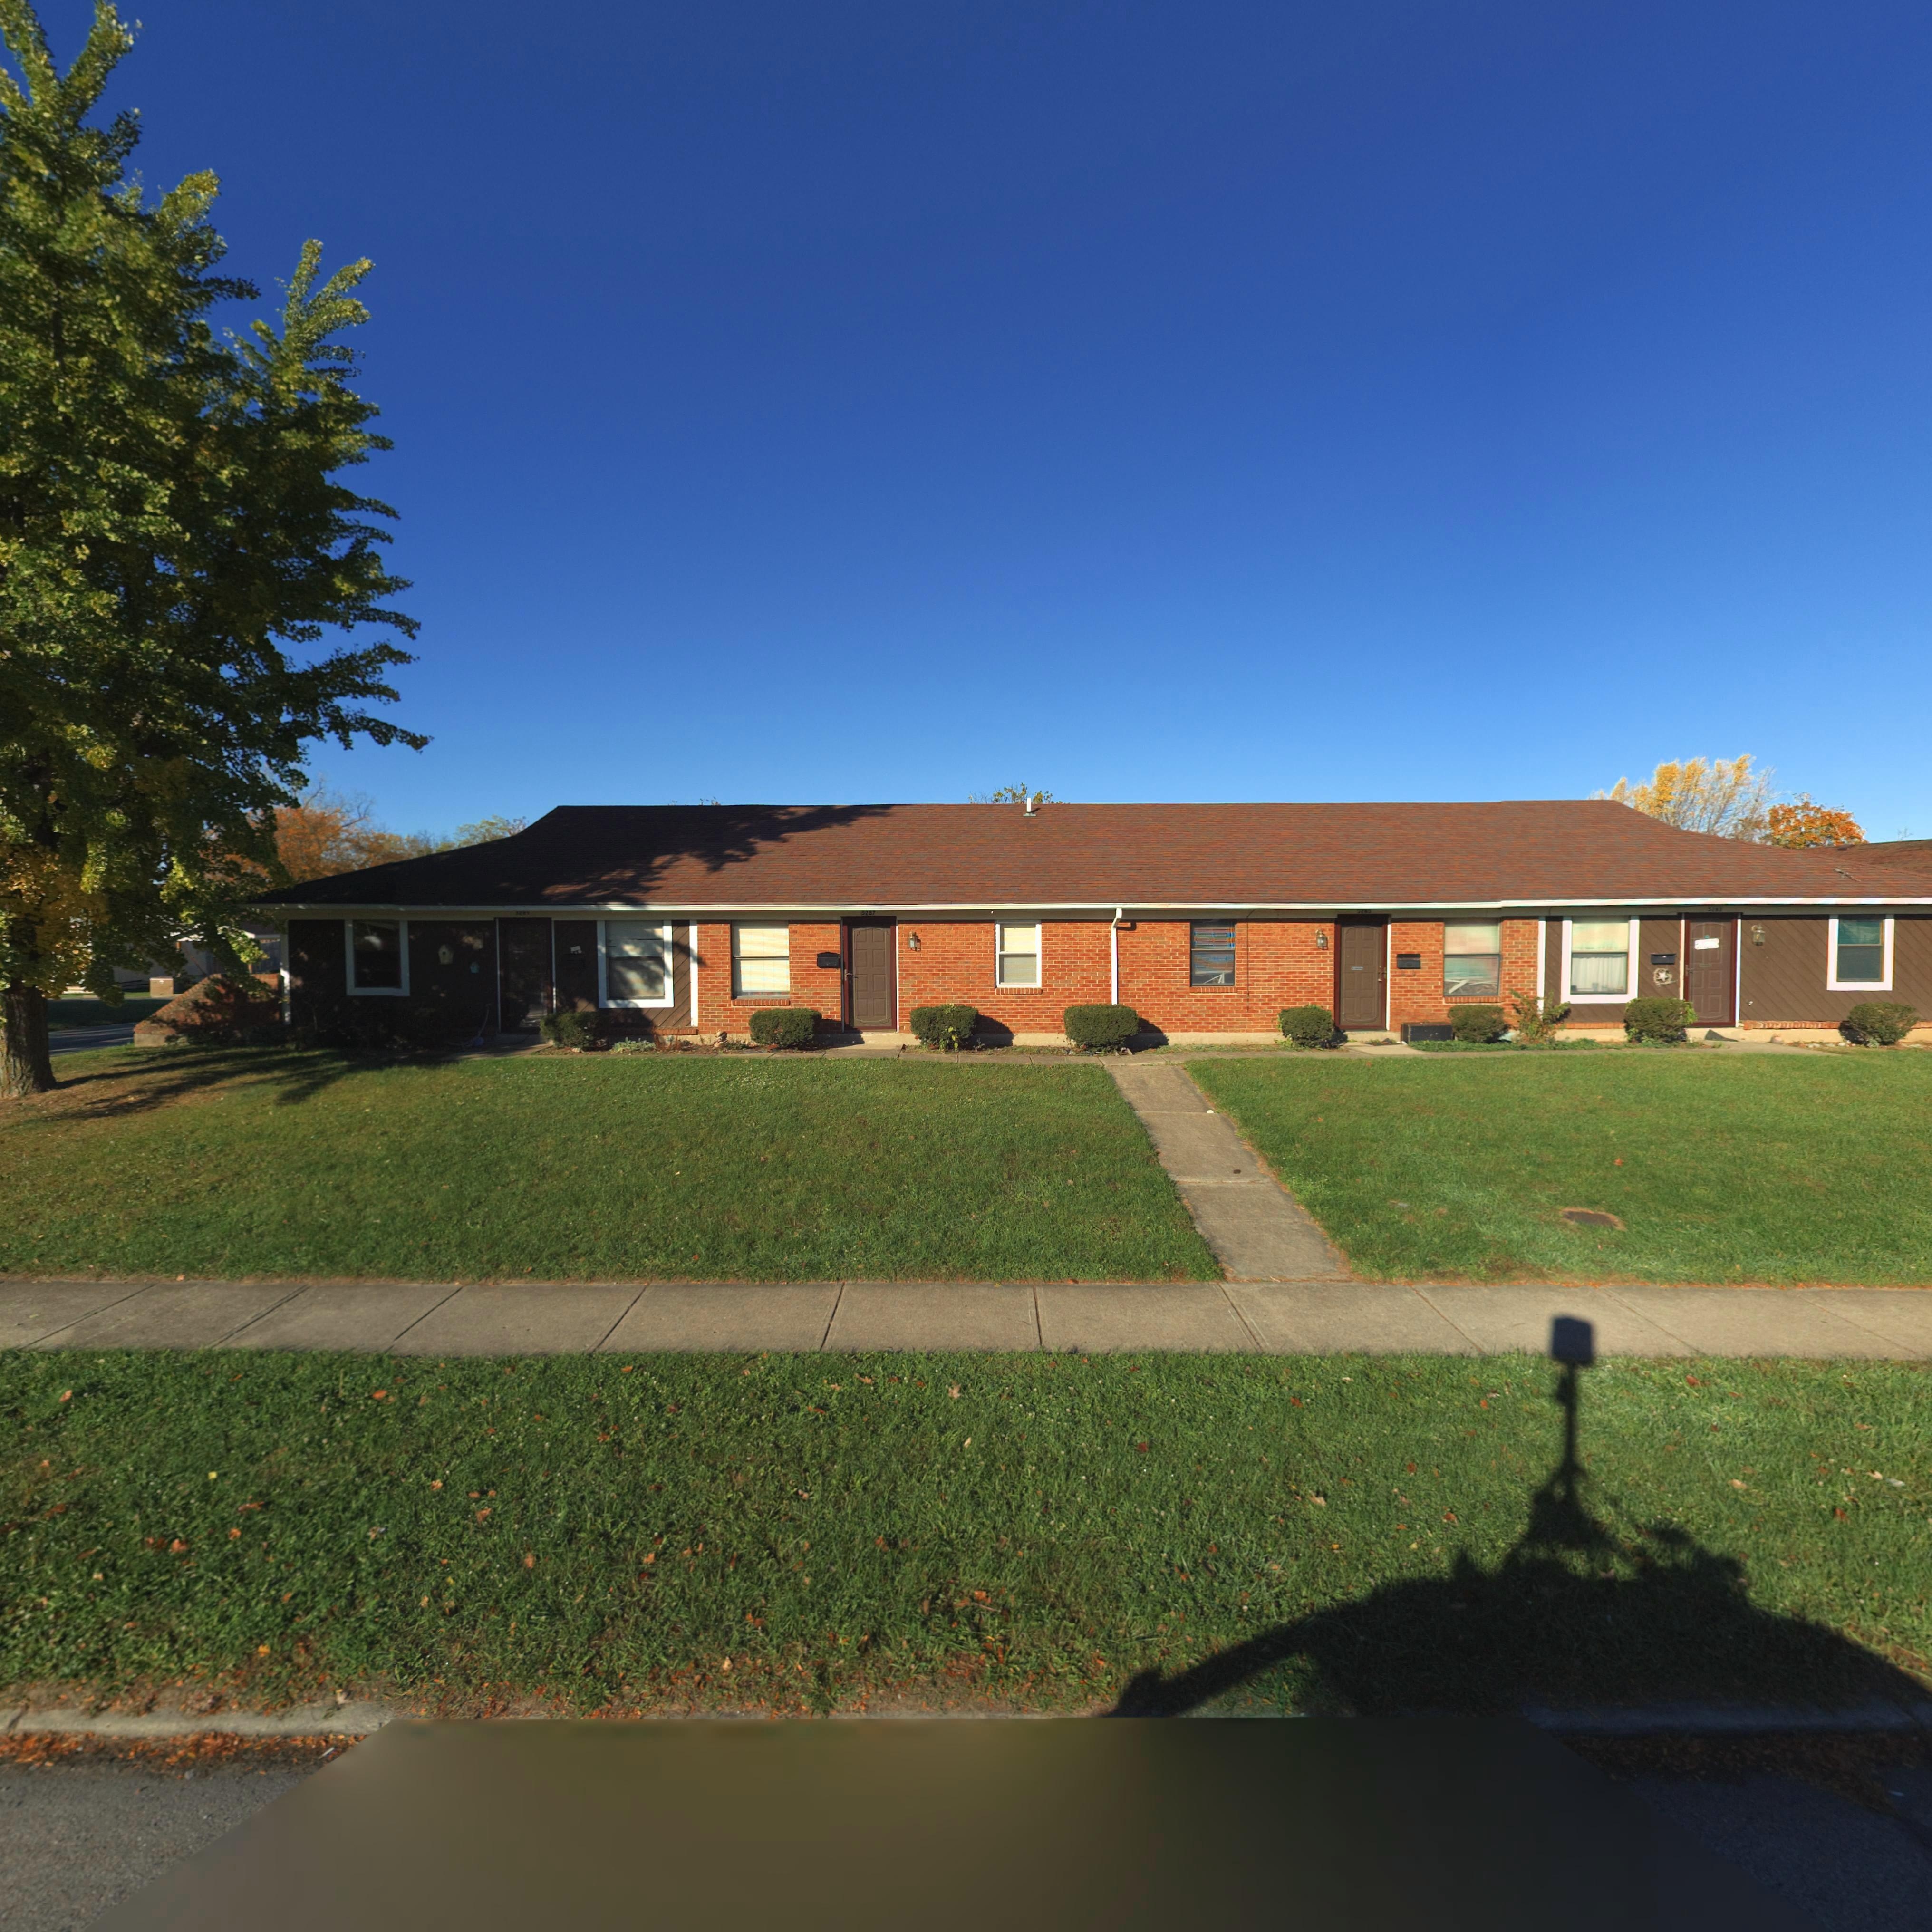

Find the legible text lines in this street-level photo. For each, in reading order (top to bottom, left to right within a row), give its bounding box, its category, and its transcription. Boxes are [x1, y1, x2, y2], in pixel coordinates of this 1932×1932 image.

[515, 910, 530, 916] StreetNumber: 5289
[861, 910, 876, 916] StreetNumber: 5287
[1356, 909, 1372, 914] StreetNumber: 5285
[1706, 906, 1723, 912] StreetNumber: 5283